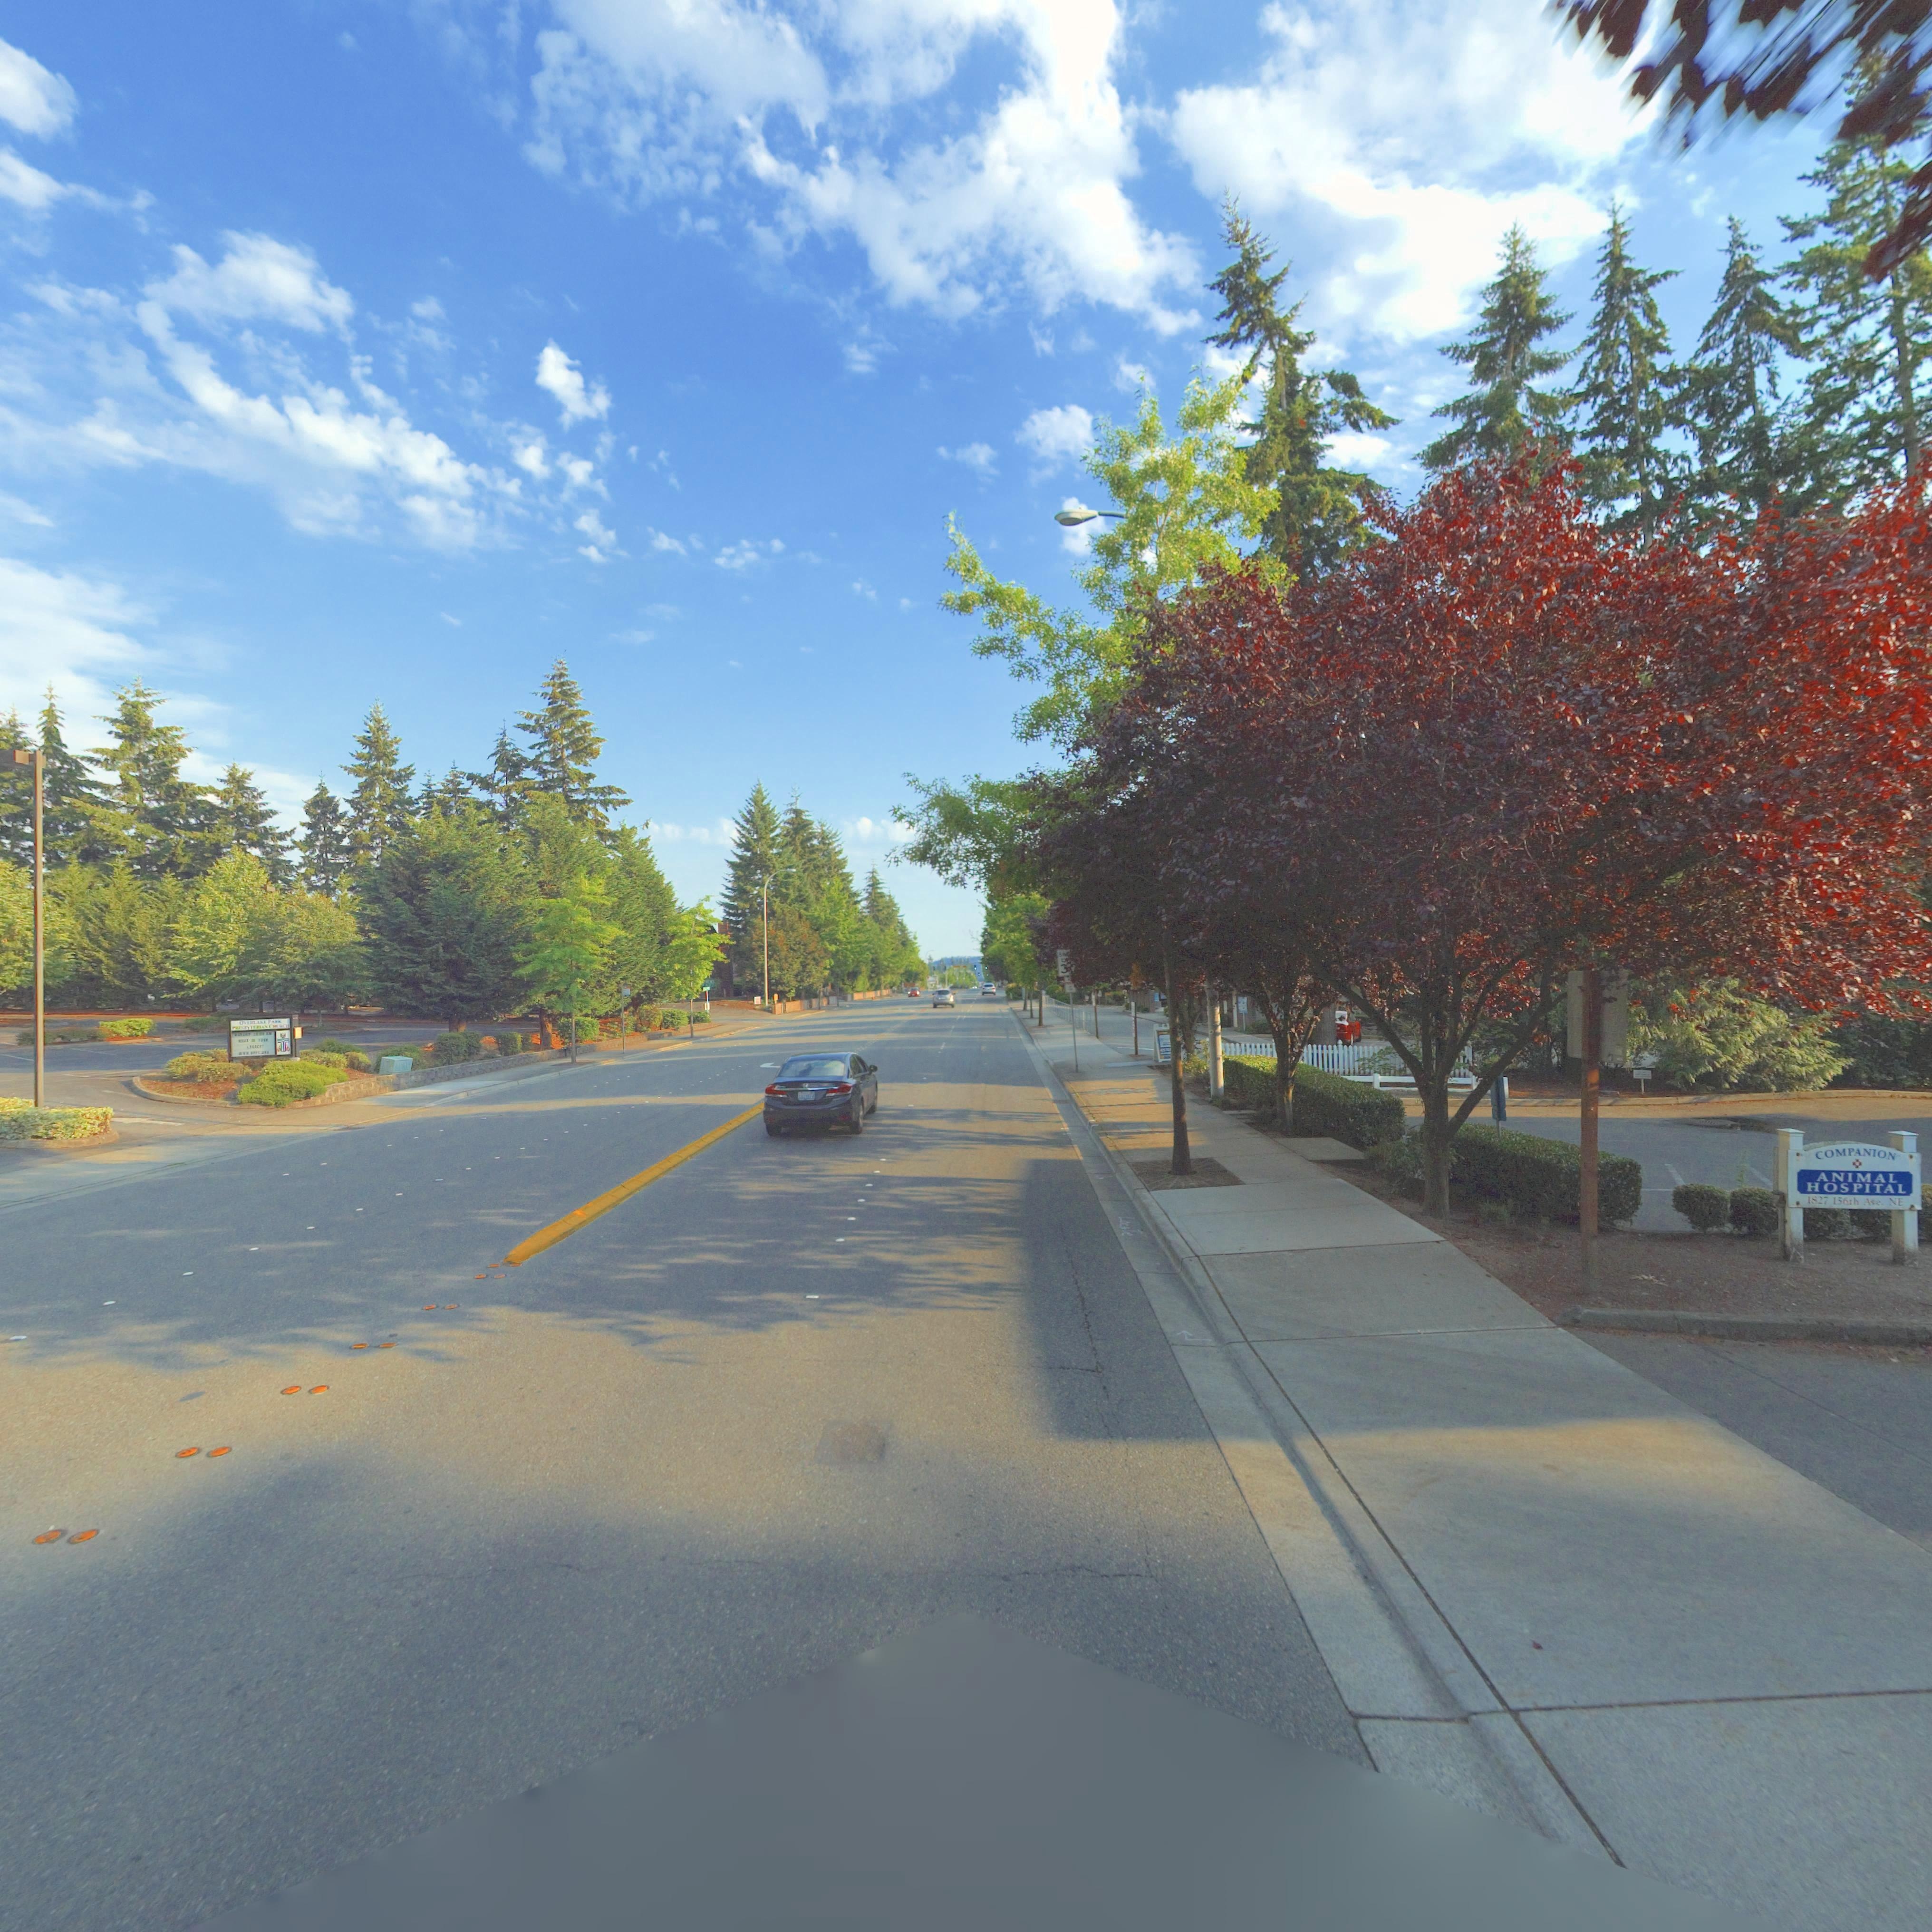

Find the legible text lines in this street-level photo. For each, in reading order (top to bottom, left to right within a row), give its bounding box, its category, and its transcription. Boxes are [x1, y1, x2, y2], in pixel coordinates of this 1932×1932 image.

[1810, 1145, 1898, 1161] BusinessName: COMPANION
[1815, 1171, 1899, 1183] BusinessName: ANIMAL
[1804, 1180, 1908, 1194] BusinessName: HOSPITAL
[1806, 1194, 1829, 1205] StreetNumber: 1827
[1832, 1195, 1905, 1207] StreetName: 156th Ave. NE